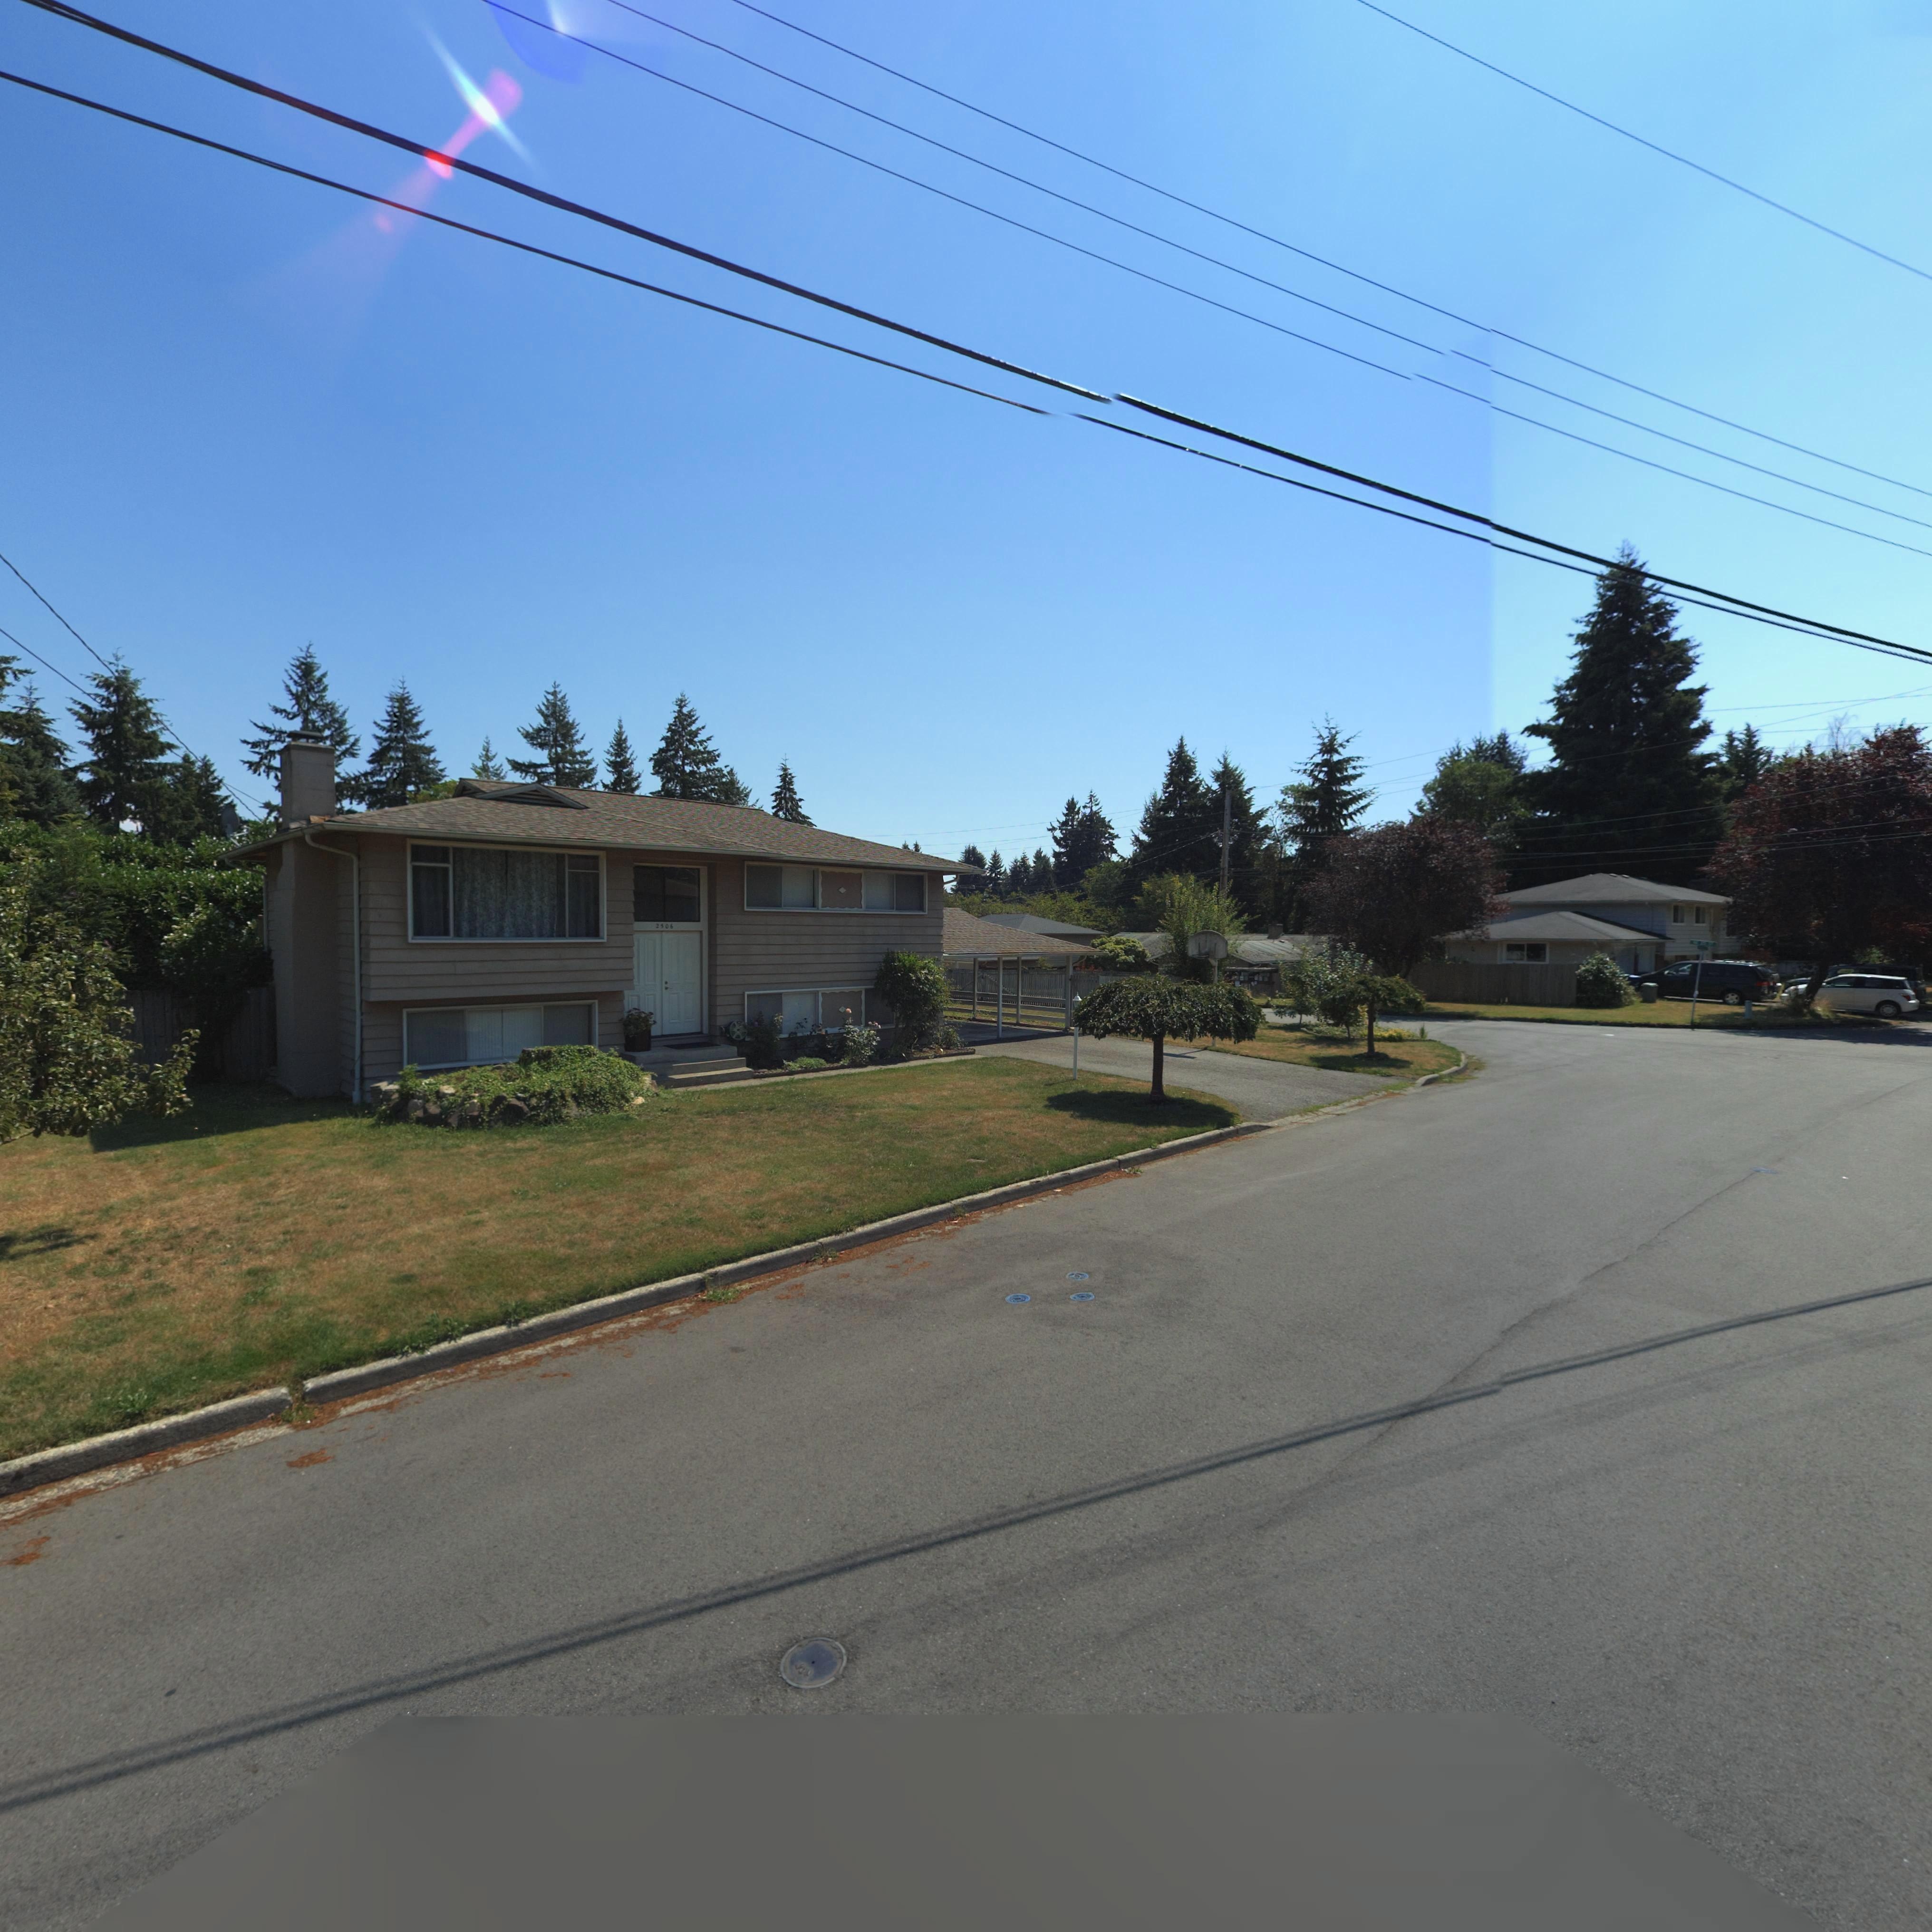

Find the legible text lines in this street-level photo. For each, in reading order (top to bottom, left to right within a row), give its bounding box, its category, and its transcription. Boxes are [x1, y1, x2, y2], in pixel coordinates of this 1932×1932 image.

[655, 922, 673, 929] StreetNumber: 2506